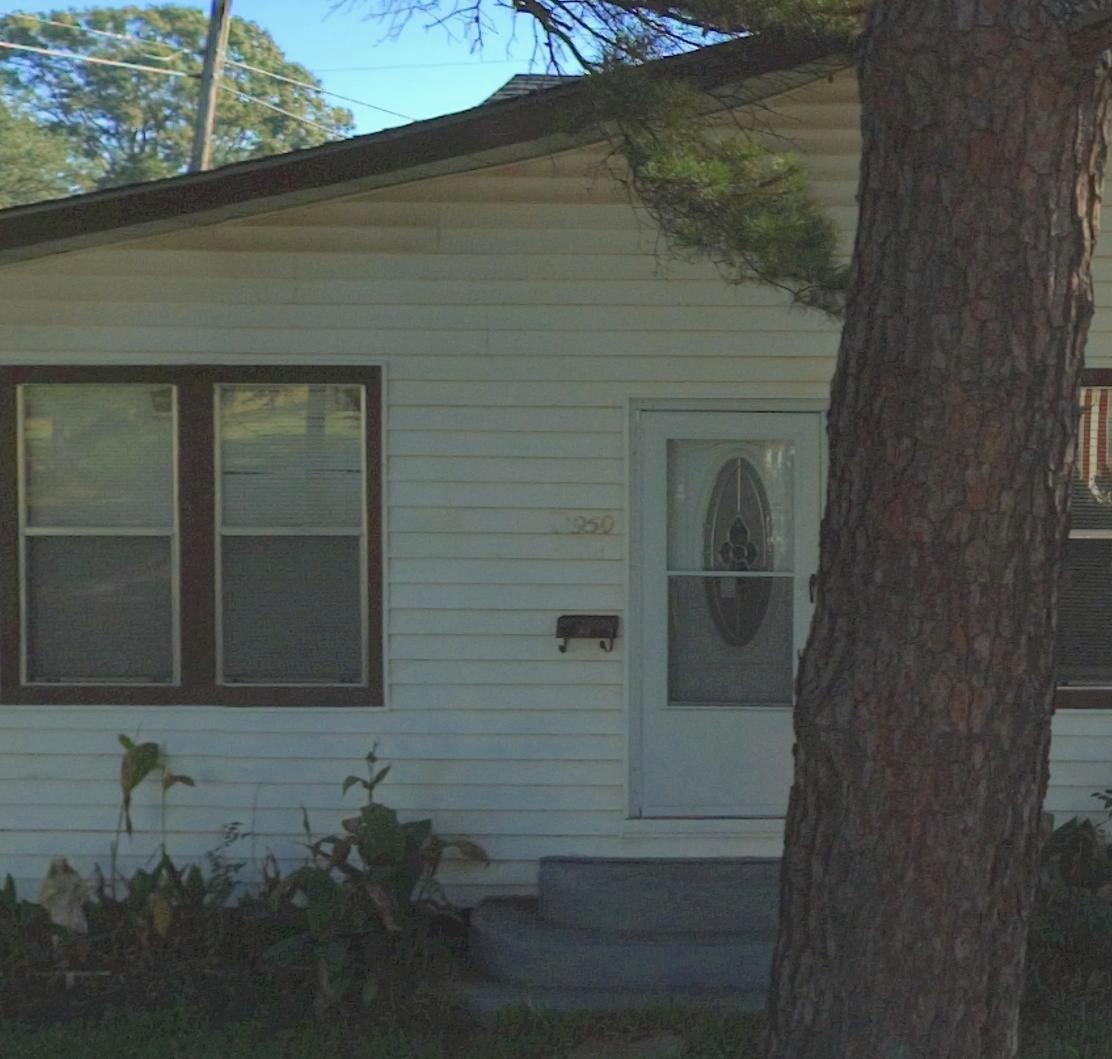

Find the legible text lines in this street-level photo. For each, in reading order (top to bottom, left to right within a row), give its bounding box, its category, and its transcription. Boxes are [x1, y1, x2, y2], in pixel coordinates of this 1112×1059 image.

[569, 513, 617, 537] StreetNumber: 950